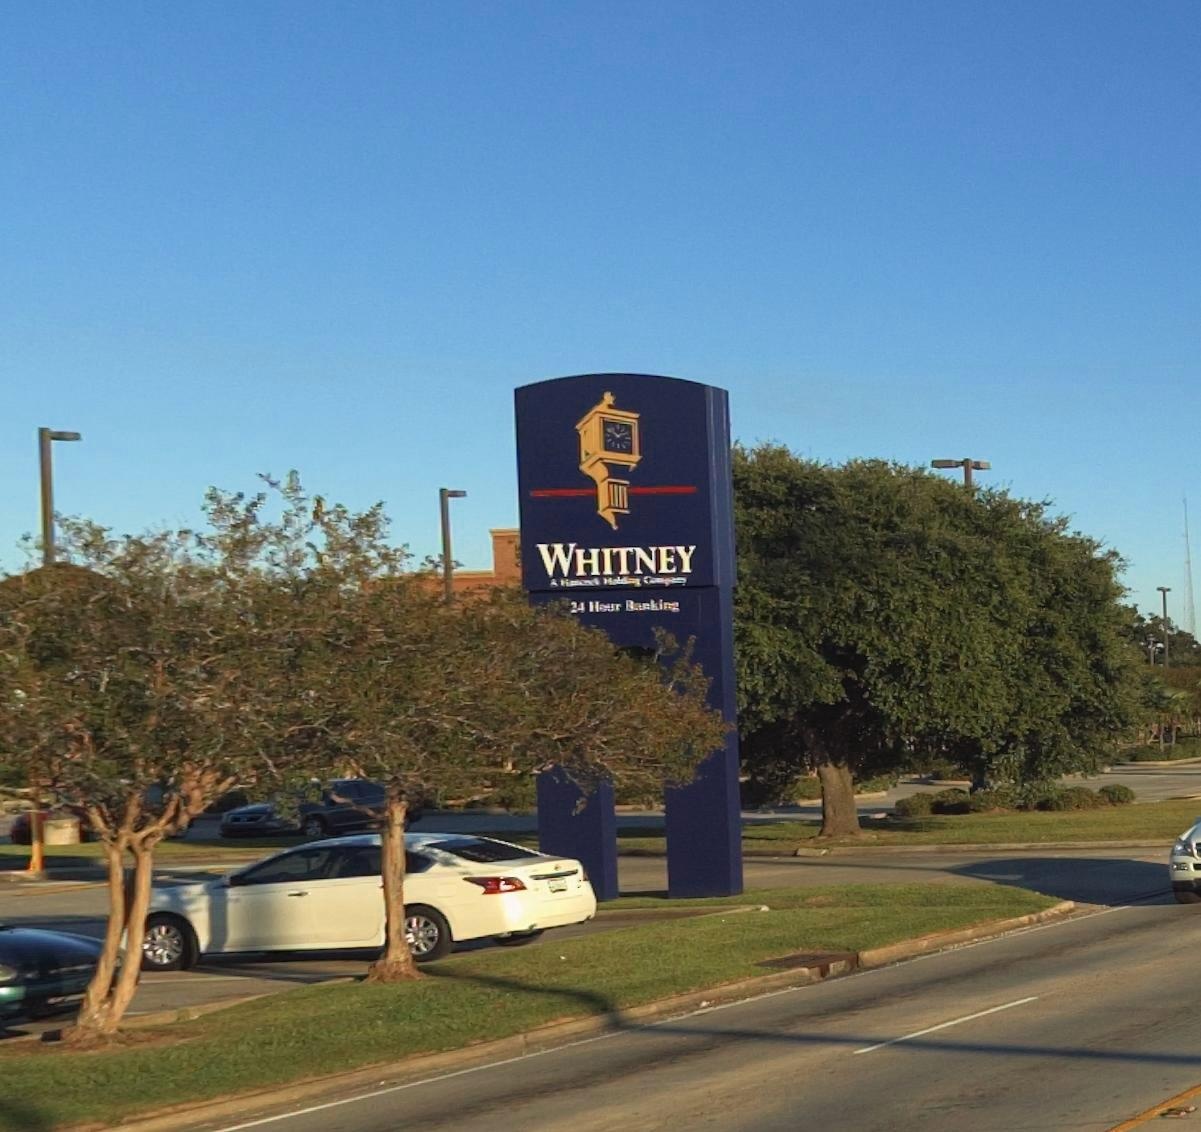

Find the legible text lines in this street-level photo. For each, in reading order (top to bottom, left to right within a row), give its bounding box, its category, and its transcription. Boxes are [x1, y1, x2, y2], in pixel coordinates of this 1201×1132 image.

[534, 541, 697, 579] BusinessName: WHITNEY
[569, 598, 681, 615] None: 24 Hour Banking